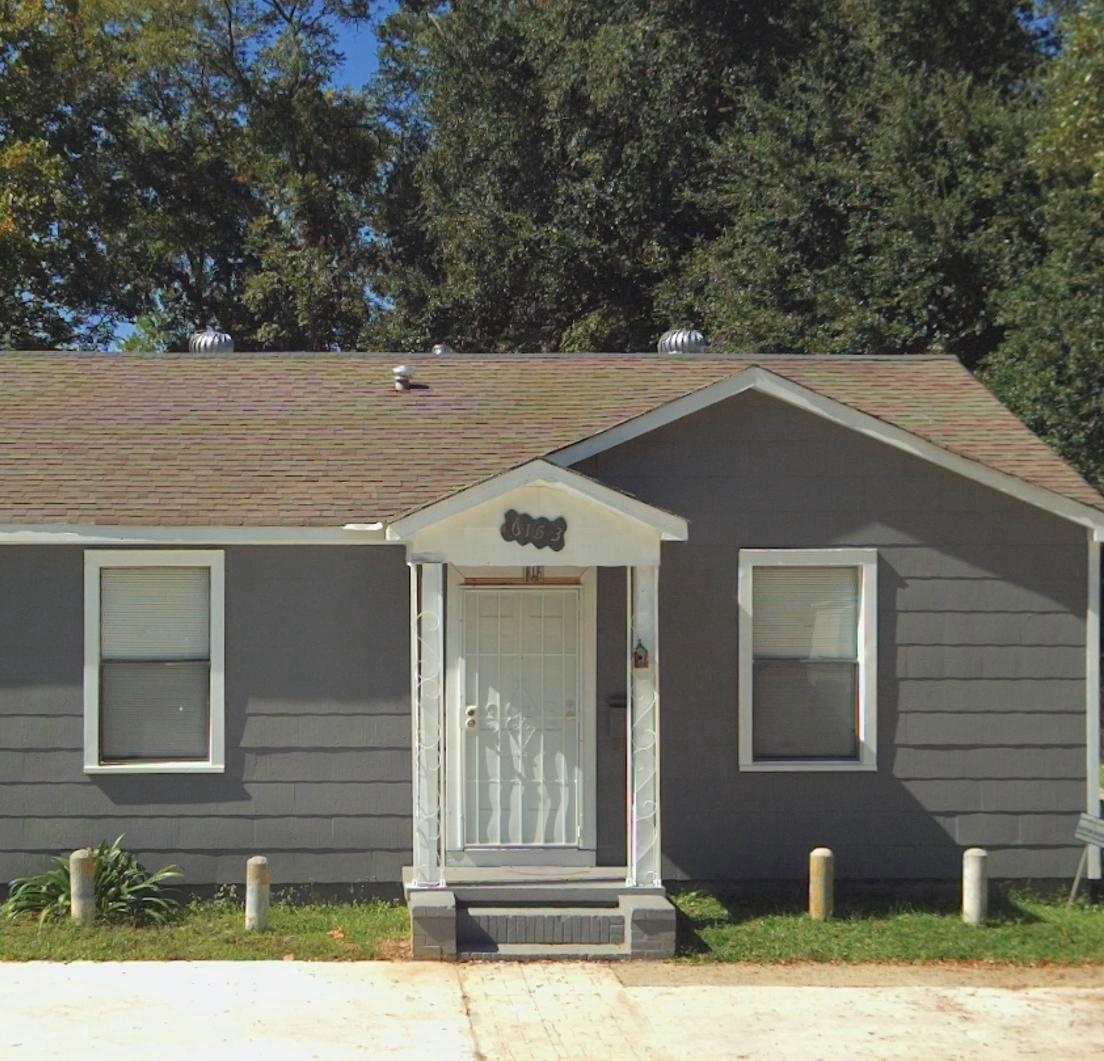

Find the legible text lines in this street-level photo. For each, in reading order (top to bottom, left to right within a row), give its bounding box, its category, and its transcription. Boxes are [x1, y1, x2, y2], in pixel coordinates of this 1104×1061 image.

[509, 517, 565, 544] StreetNumber: 6153